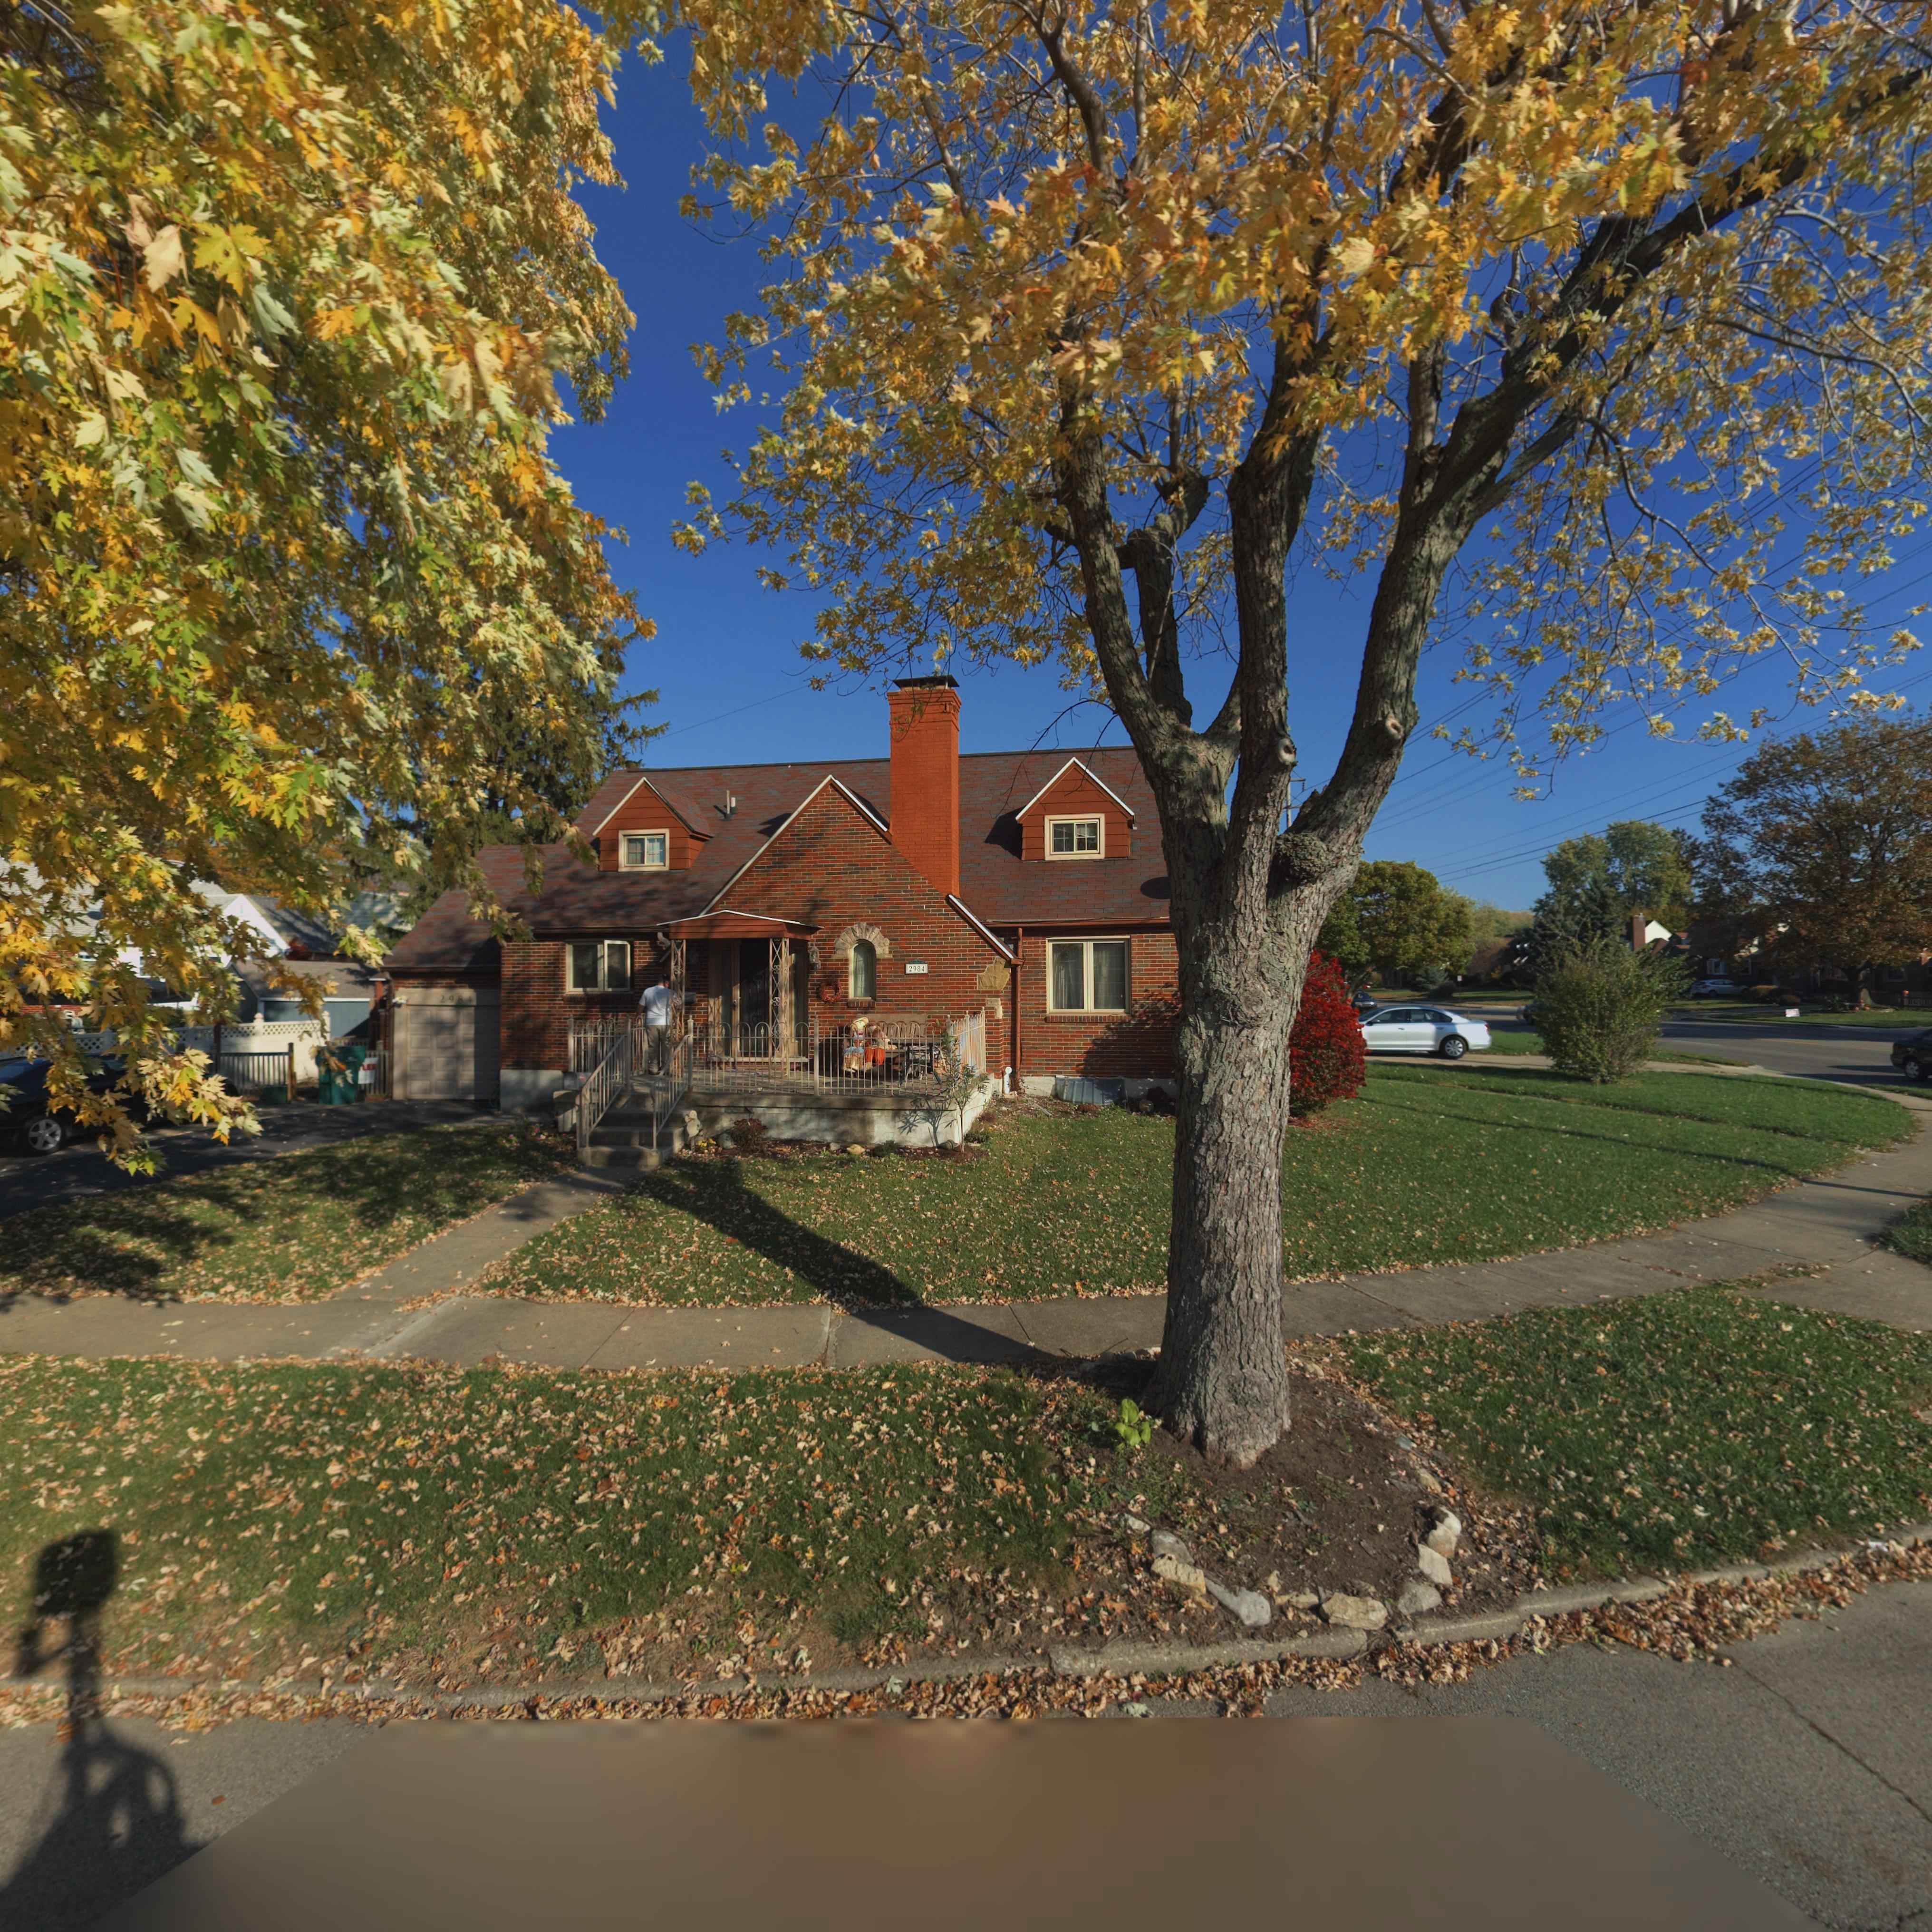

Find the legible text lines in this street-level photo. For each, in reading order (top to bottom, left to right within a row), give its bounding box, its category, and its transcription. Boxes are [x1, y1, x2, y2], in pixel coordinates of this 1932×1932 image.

[908, 964, 926, 973] StreetNumber: 2984
[438, 993, 475, 1005] StreetNumber: 2984
[361, 1063, 368, 1072] None: L